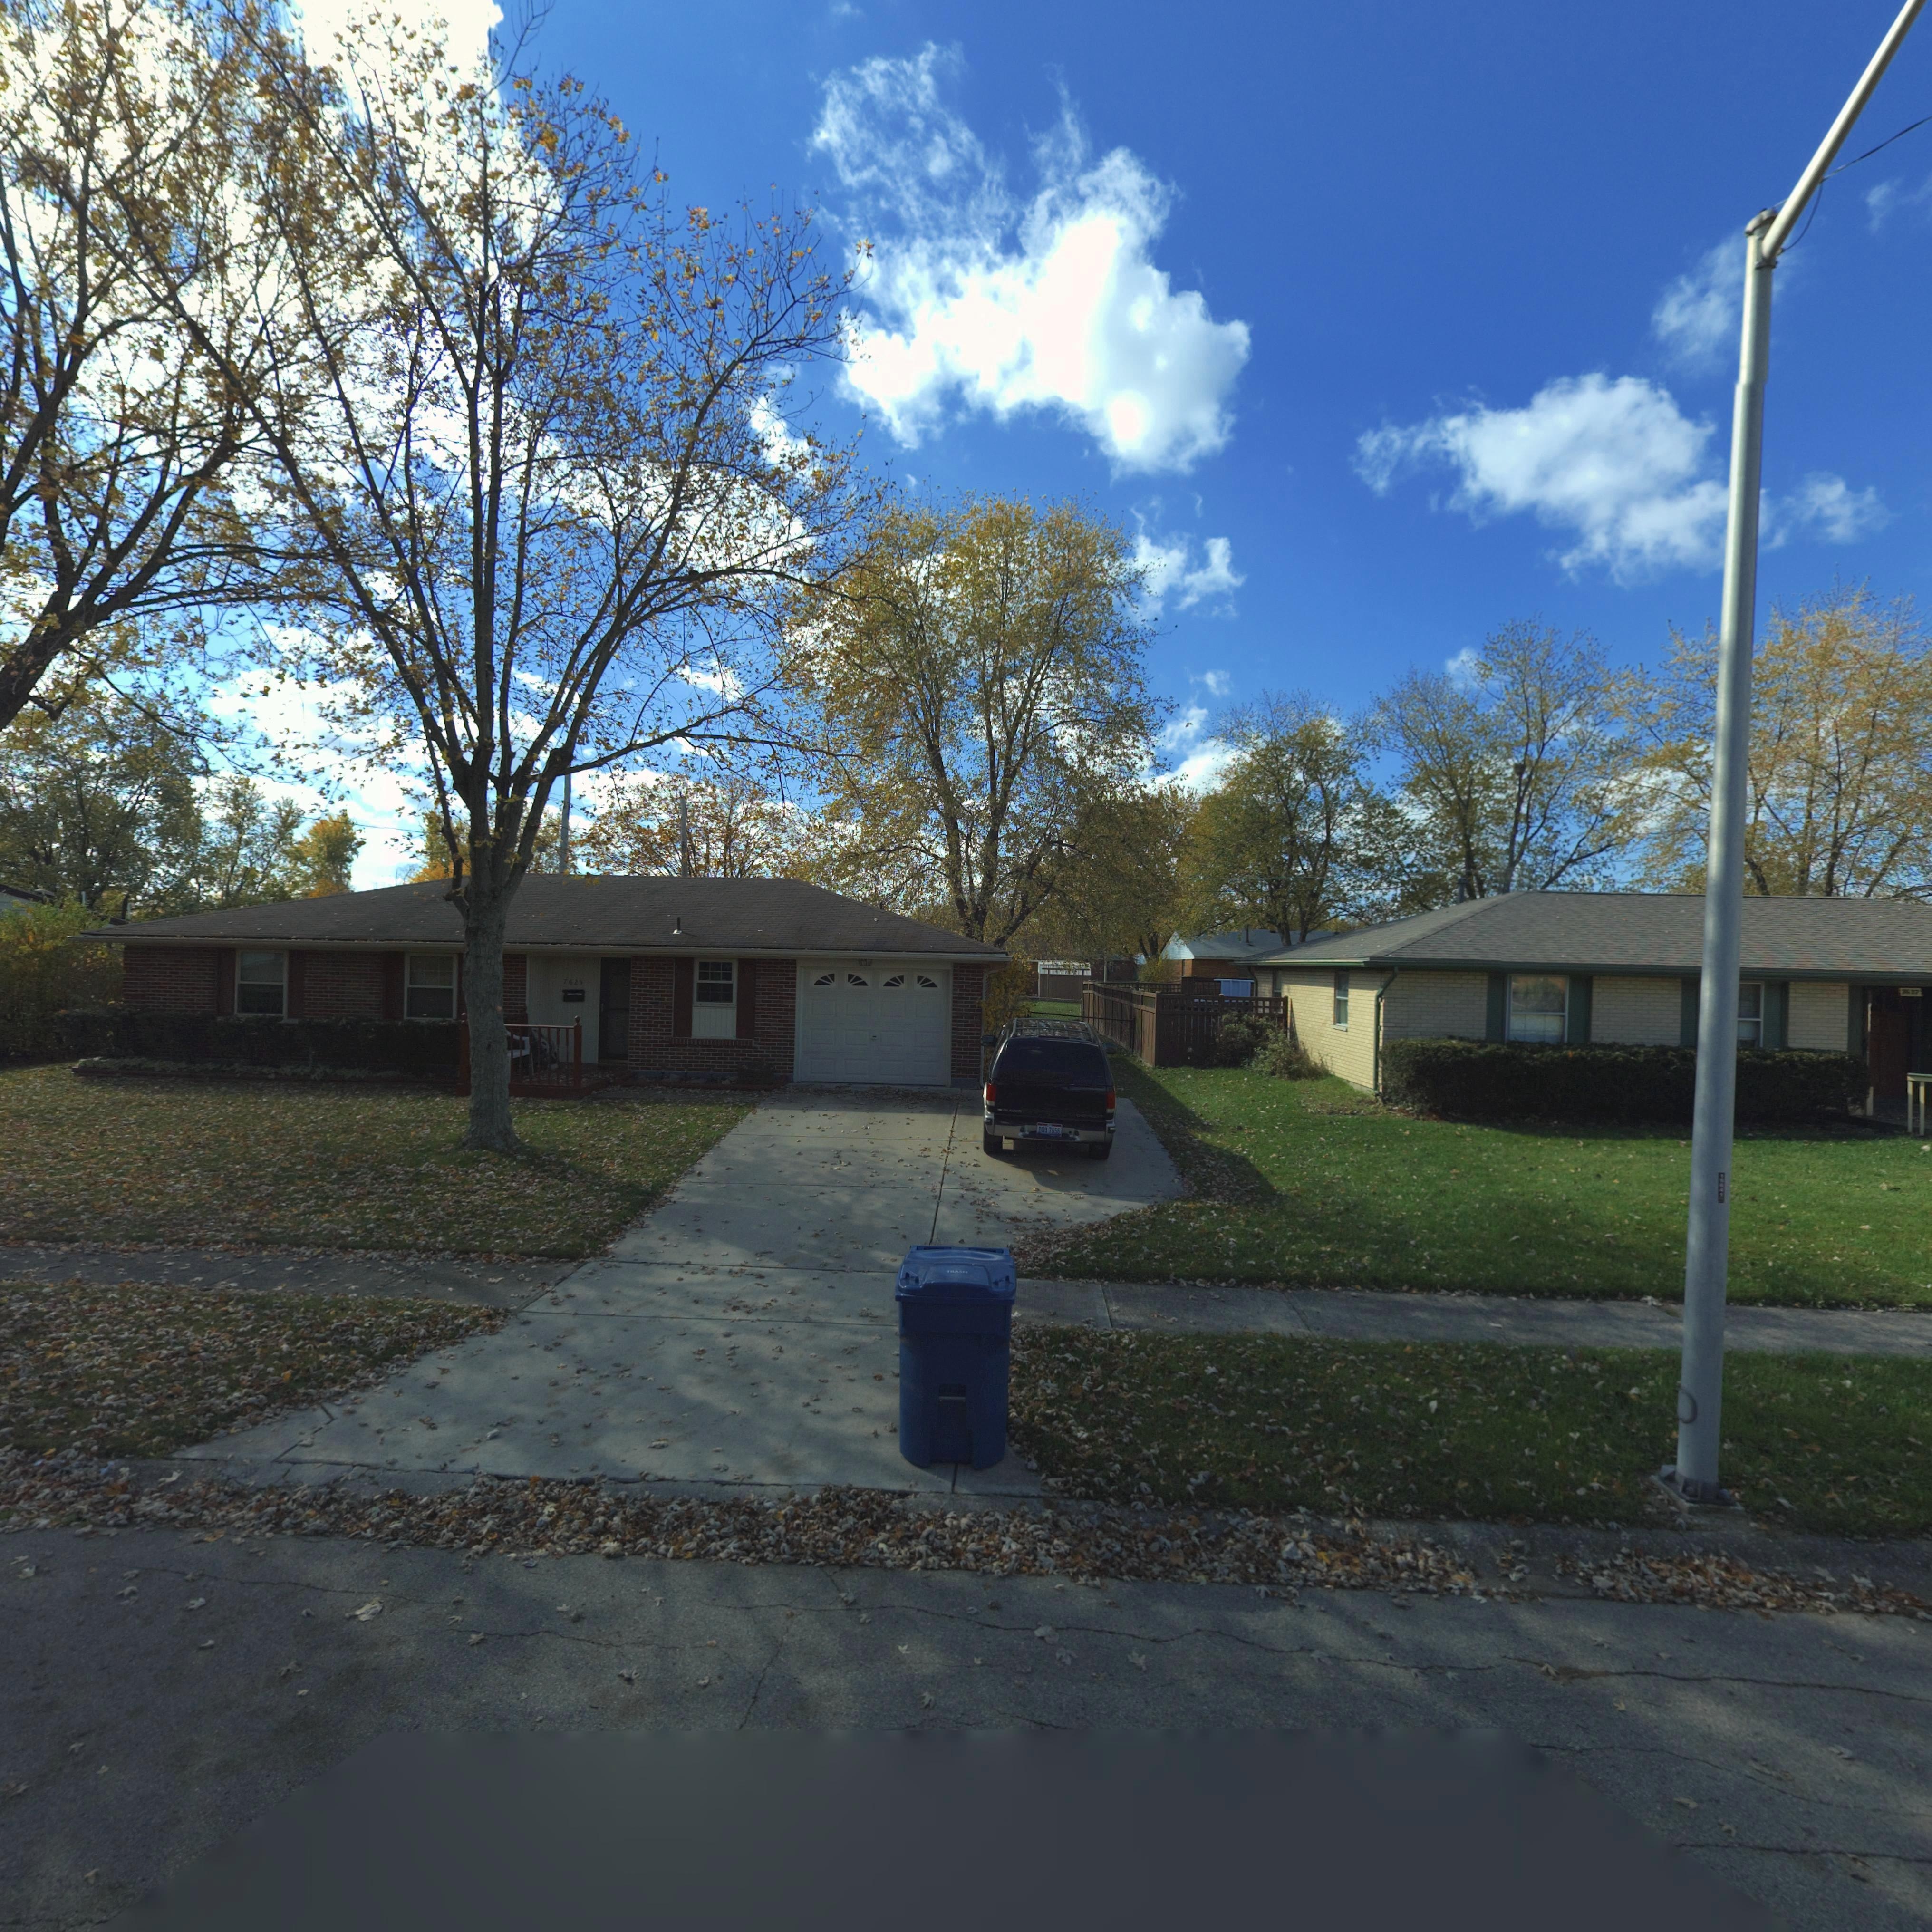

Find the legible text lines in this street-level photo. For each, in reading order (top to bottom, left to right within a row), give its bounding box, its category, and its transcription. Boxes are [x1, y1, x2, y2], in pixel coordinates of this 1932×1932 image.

[561, 978, 584, 986] StreetNumber: 762*